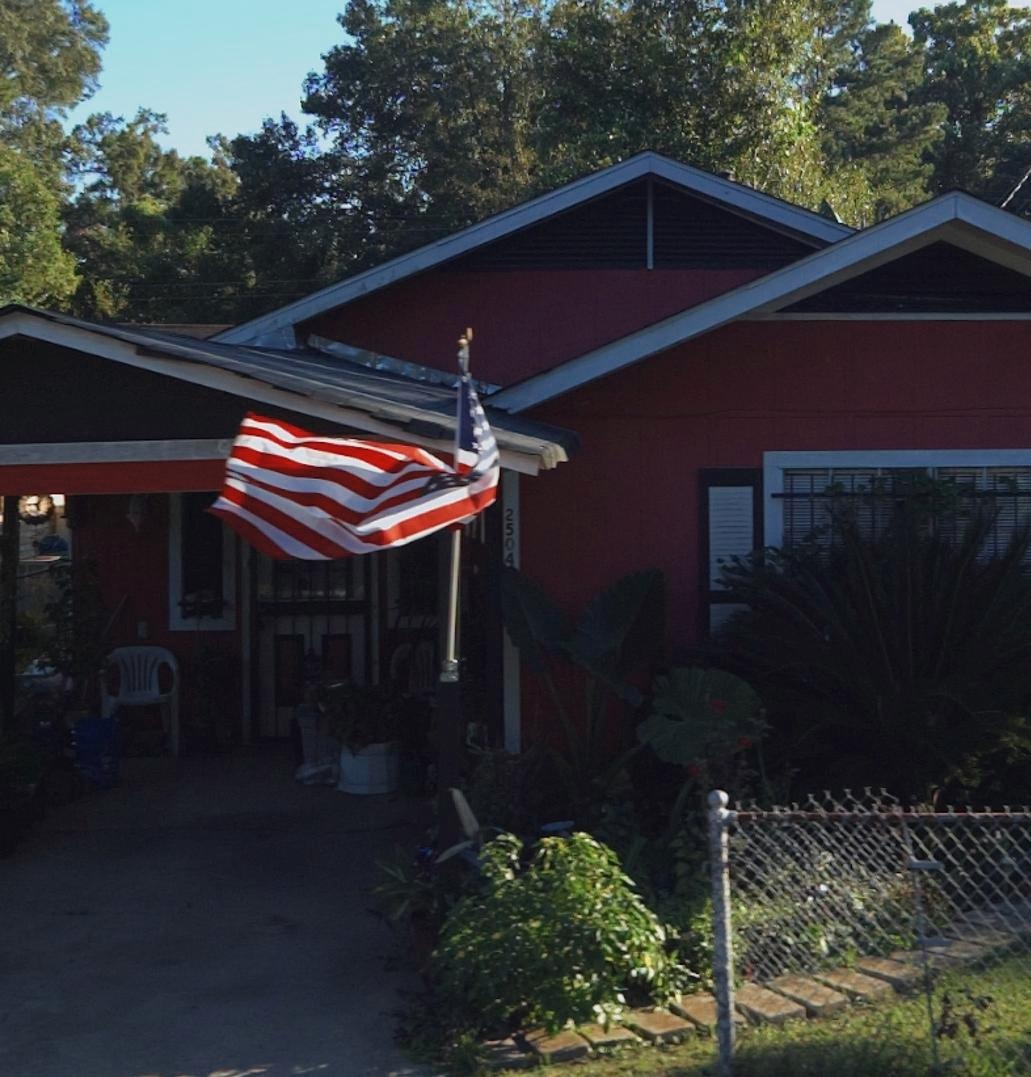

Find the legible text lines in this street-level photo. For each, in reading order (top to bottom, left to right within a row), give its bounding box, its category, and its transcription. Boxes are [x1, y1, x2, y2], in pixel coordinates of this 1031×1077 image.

[503, 506, 516, 567] StreetNumber: 2504